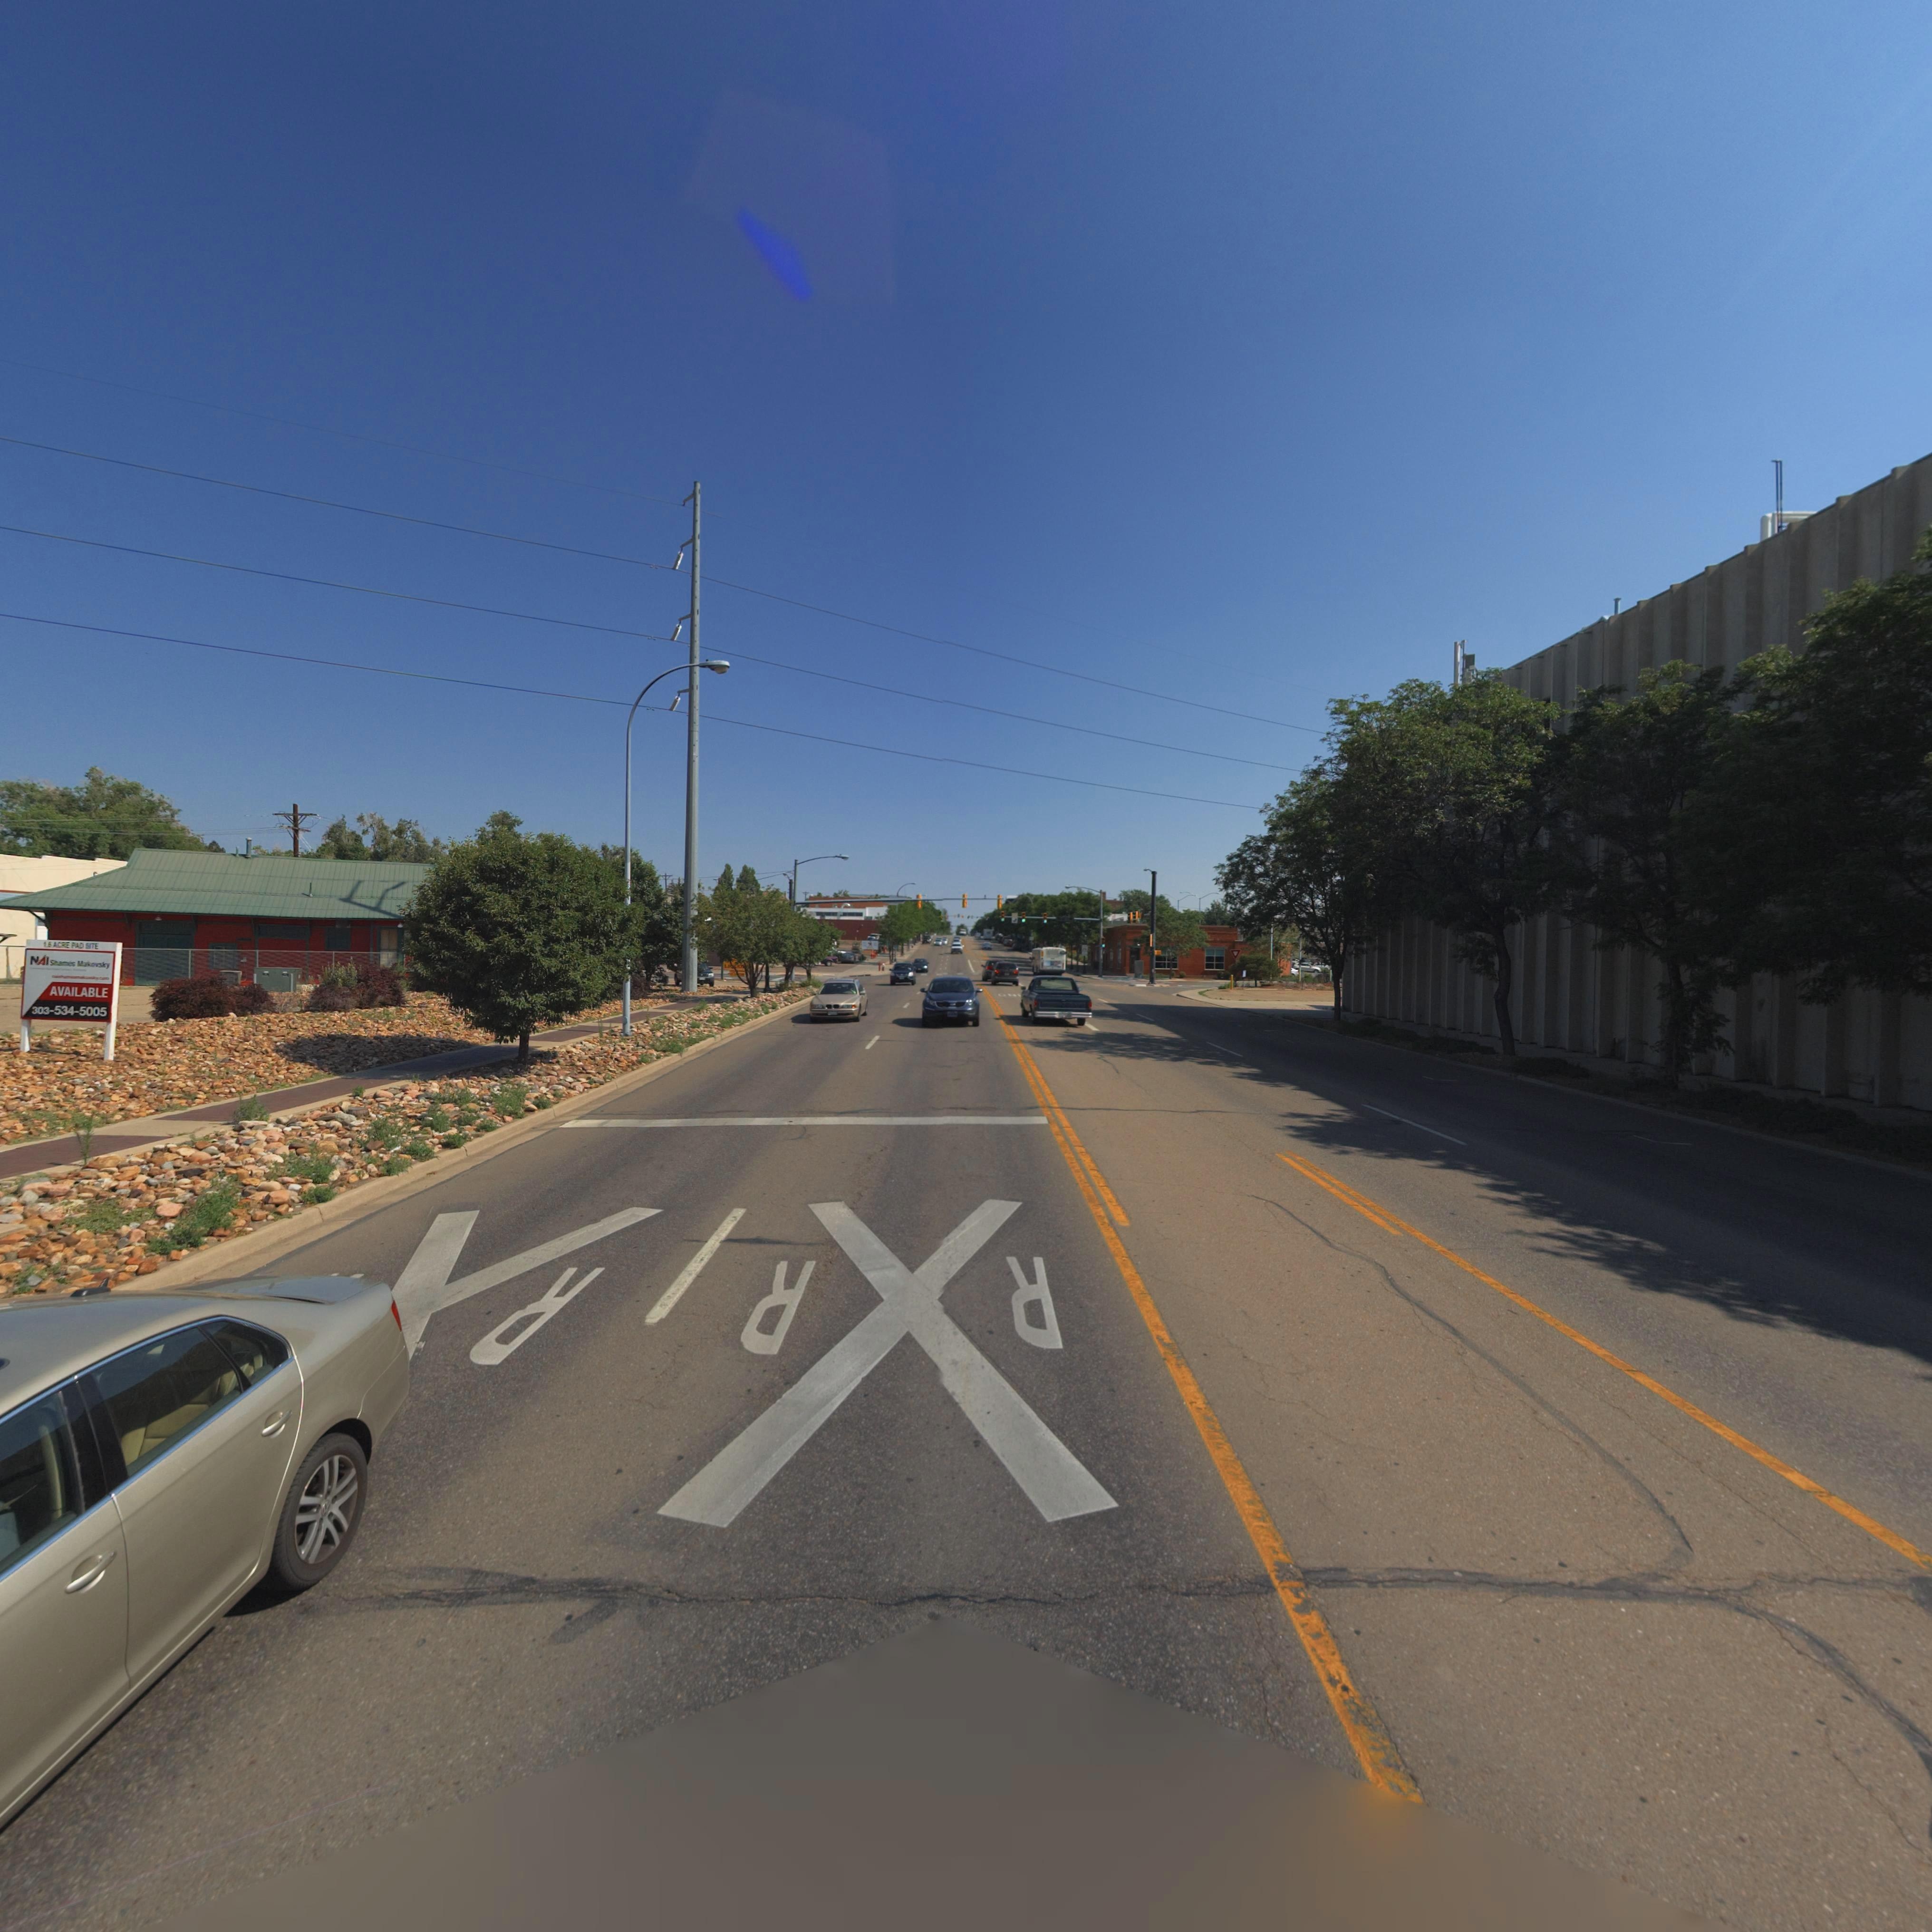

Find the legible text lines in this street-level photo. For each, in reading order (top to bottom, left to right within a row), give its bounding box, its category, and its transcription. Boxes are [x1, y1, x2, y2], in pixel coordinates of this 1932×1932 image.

[724, 964, 744, 969] BusinessName: LI****